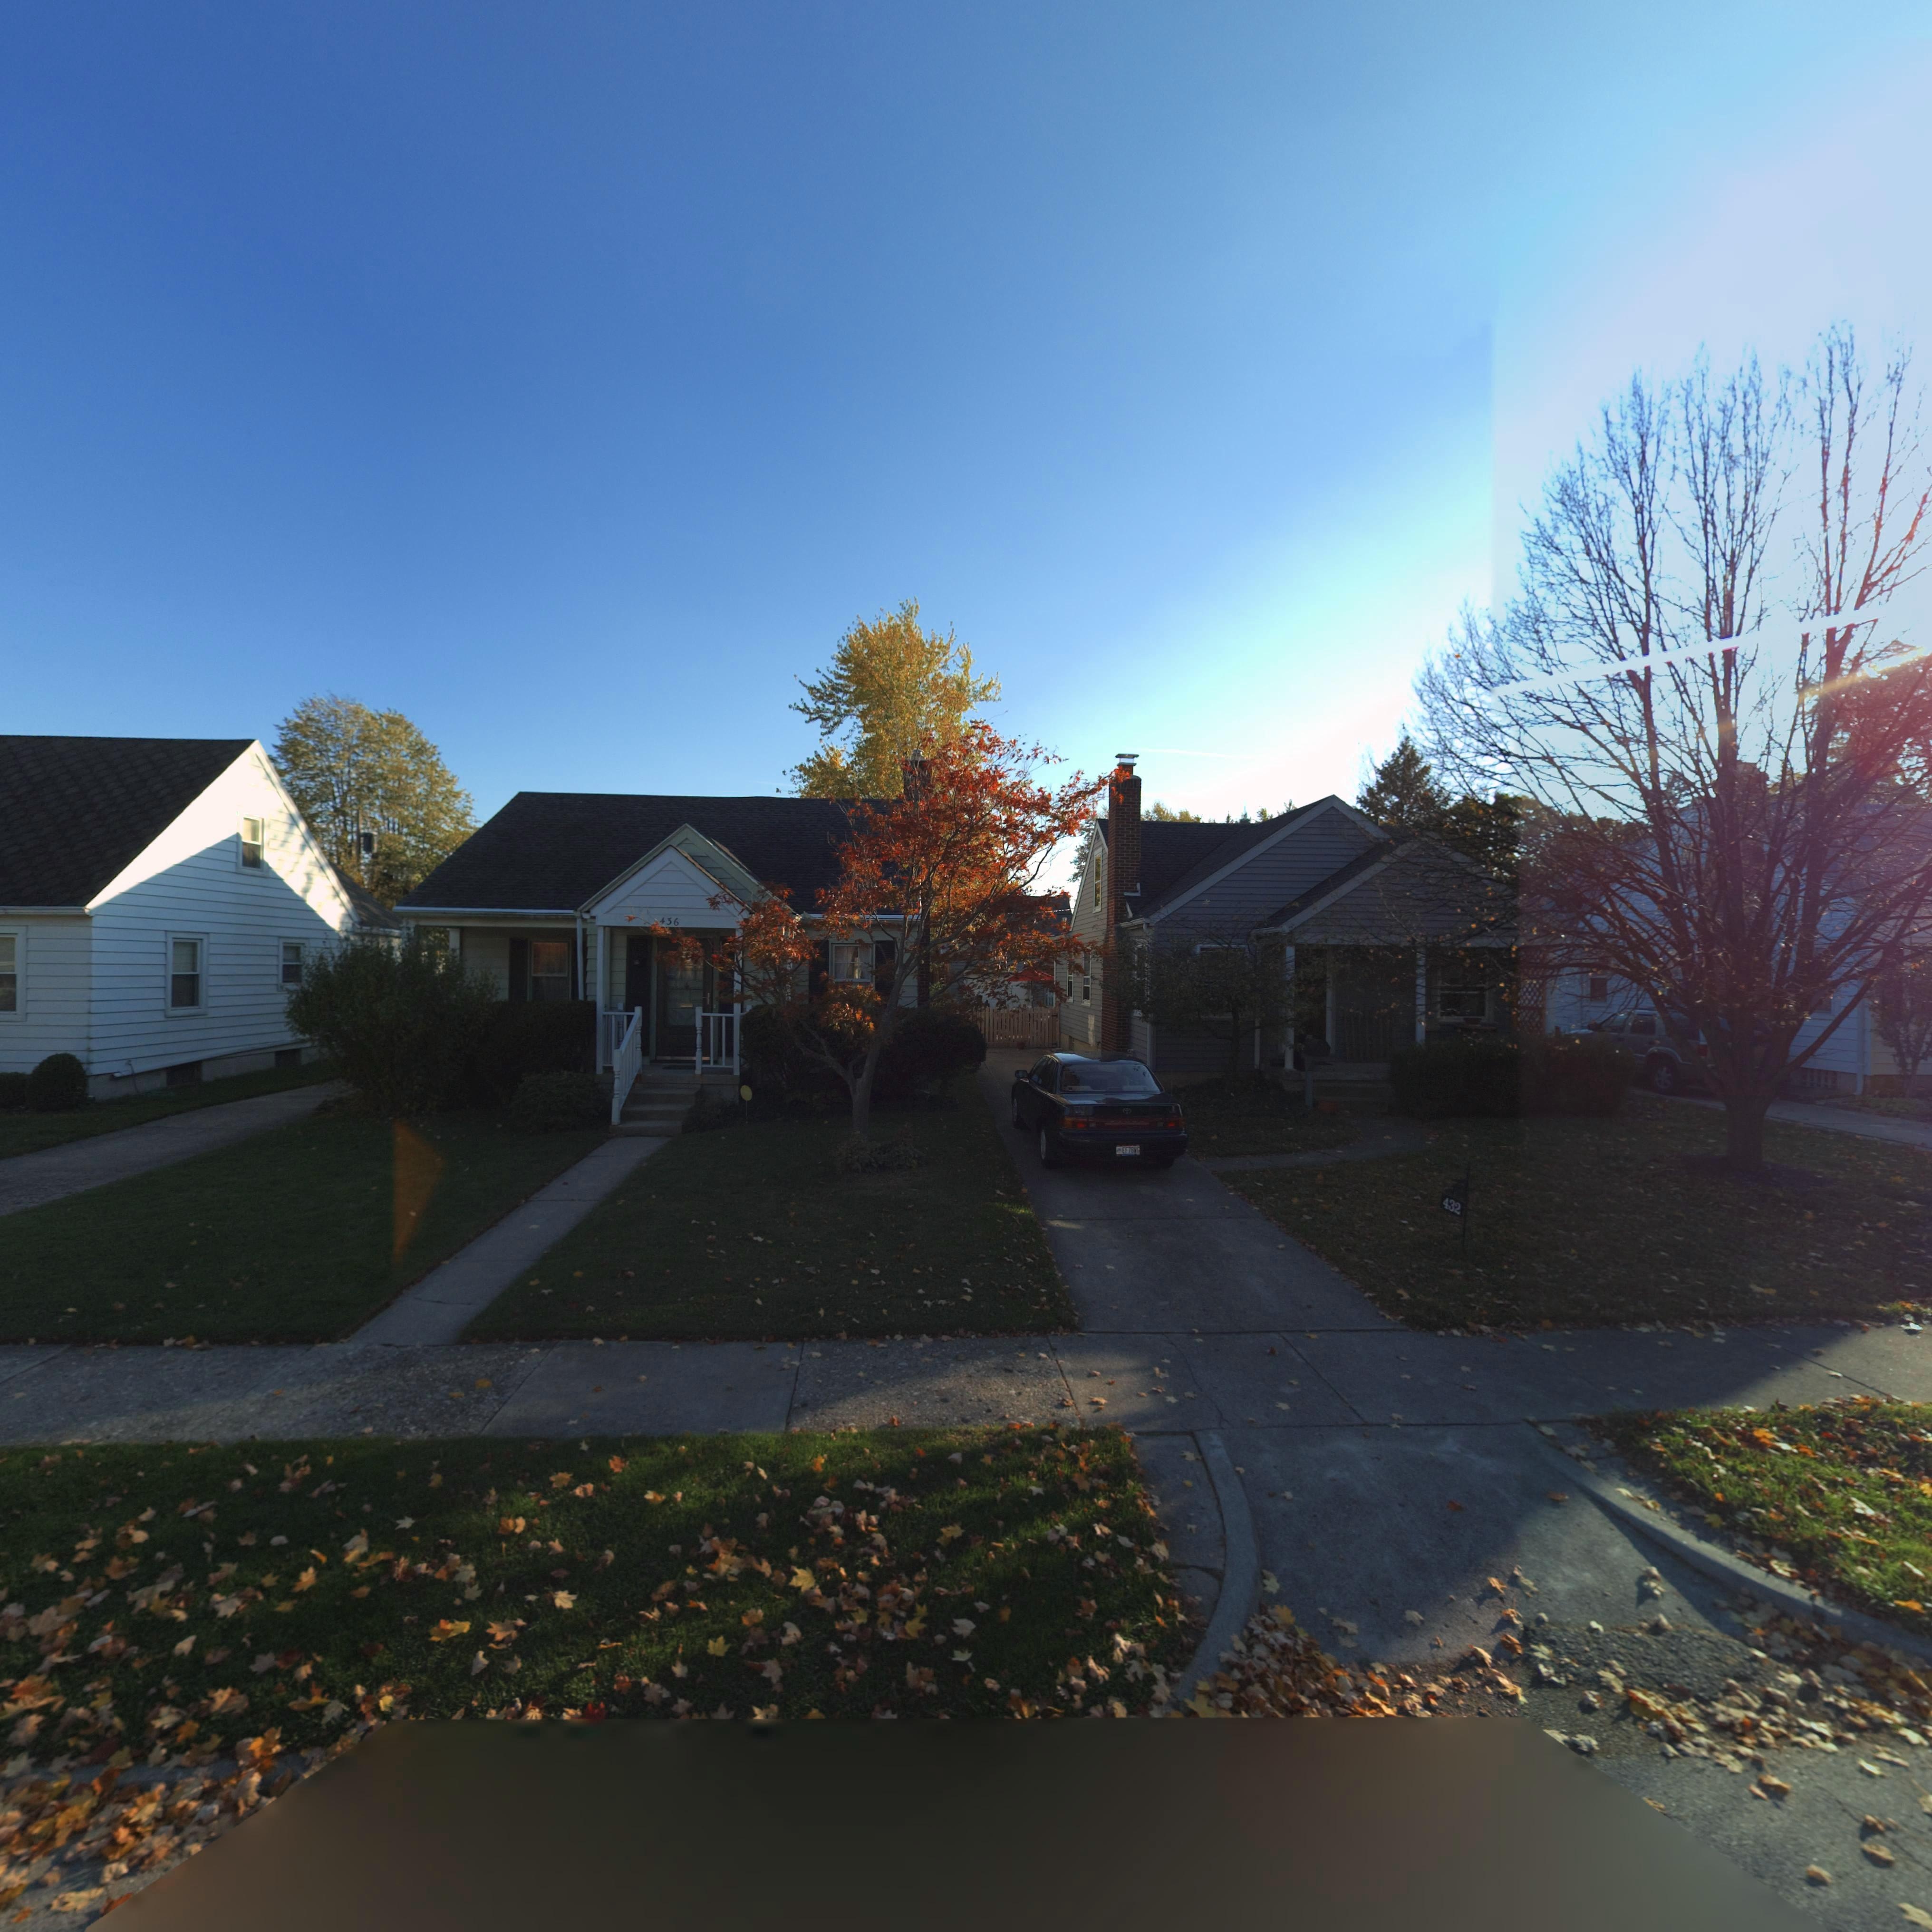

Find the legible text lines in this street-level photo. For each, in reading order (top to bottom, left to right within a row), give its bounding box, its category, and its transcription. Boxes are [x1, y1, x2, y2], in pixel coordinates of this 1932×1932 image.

[659, 917, 680, 927] StreetNumber: 436
[1441, 1195, 1462, 1217] StreetNumber: 432